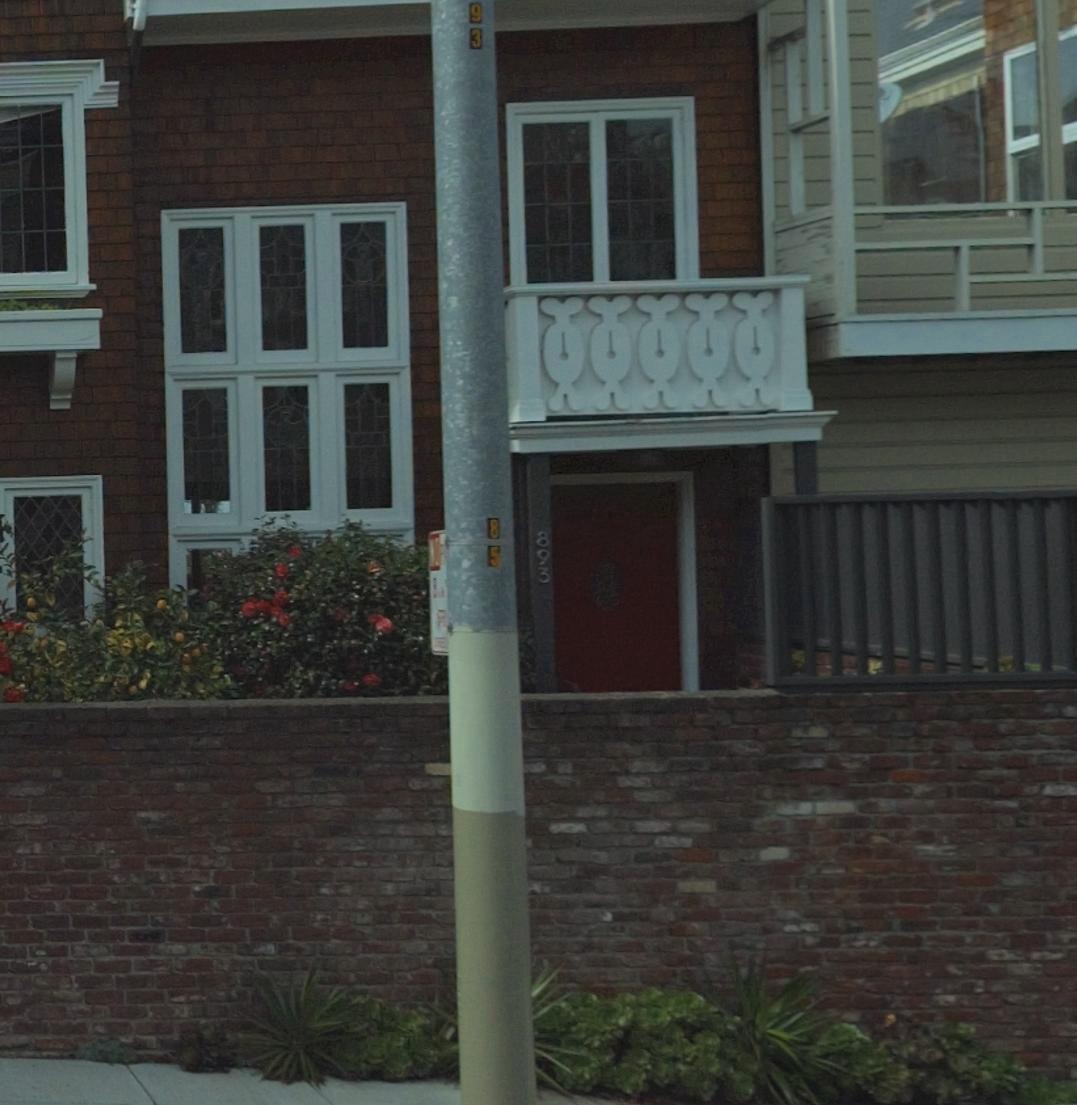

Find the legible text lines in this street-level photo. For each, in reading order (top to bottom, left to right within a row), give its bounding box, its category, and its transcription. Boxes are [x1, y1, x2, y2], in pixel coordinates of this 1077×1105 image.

[487, 516, 501, 569] None: 85
[534, 529, 553, 587] StreetNumber: 893